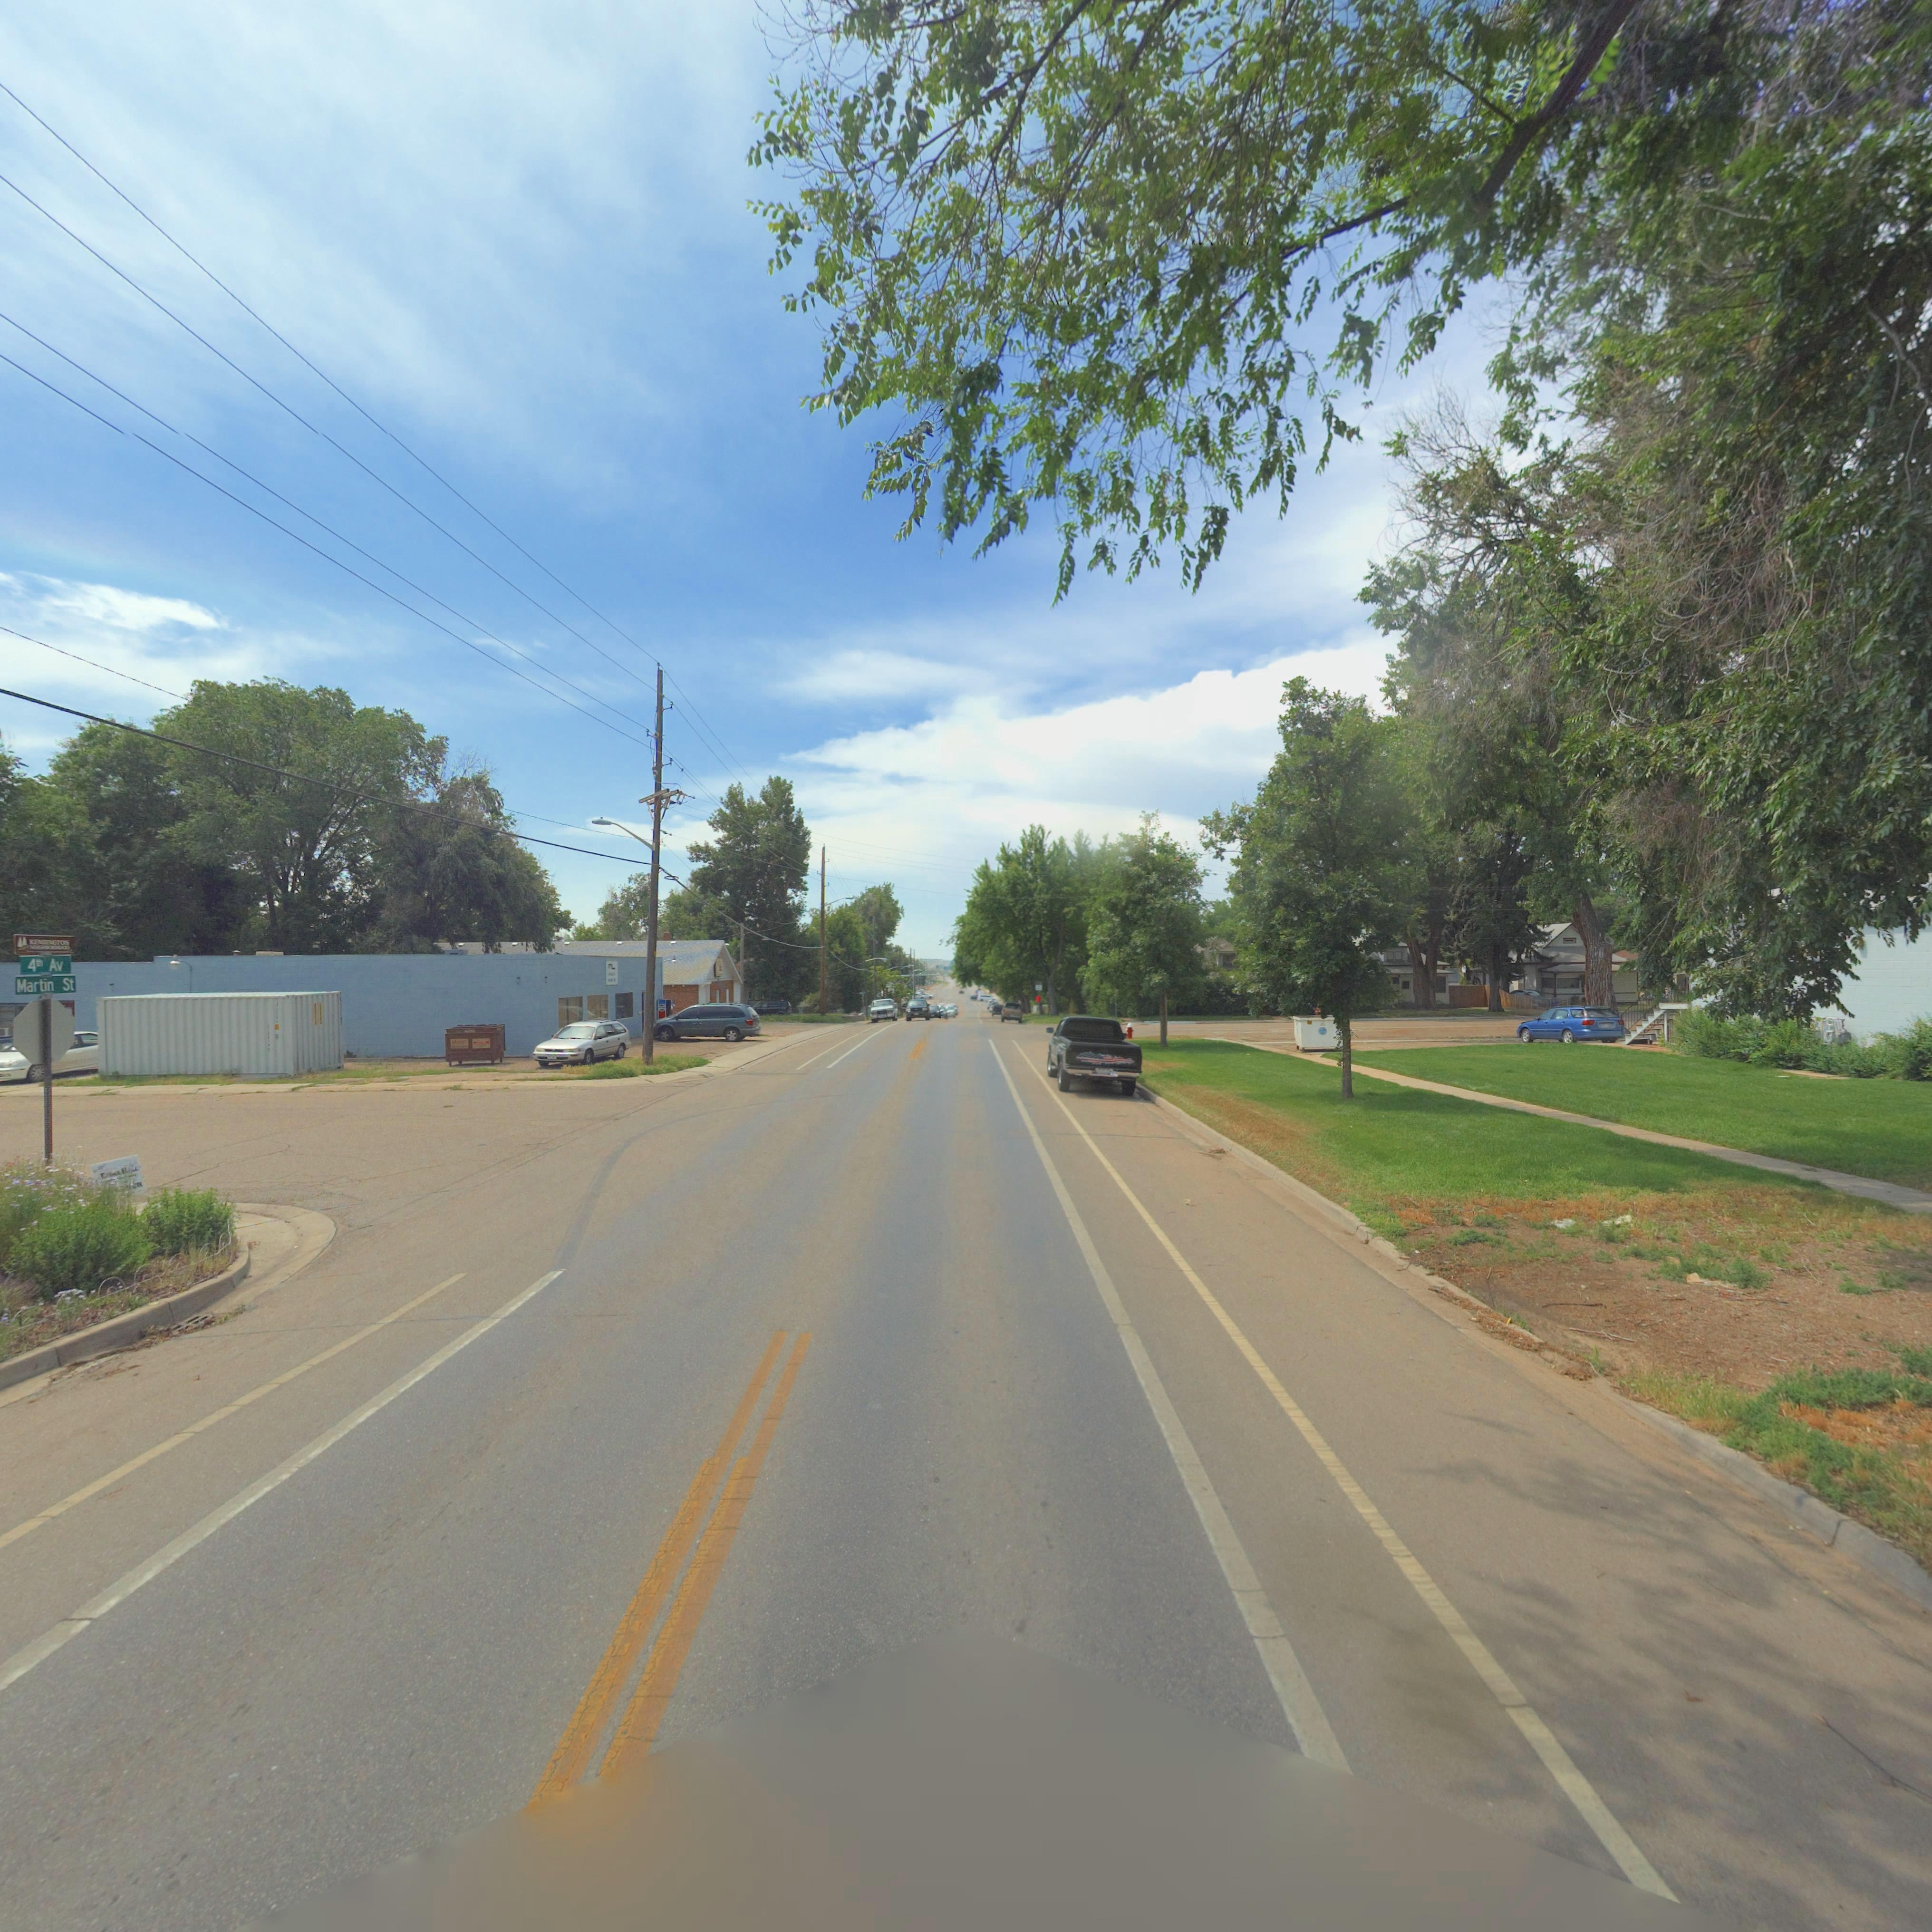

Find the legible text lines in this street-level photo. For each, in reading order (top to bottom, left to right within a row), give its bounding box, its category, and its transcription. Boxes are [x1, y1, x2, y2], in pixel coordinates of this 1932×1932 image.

[27, 957, 64, 972] StreetName: 4** Av
[16, 977, 75, 993] StreetName: Martin St